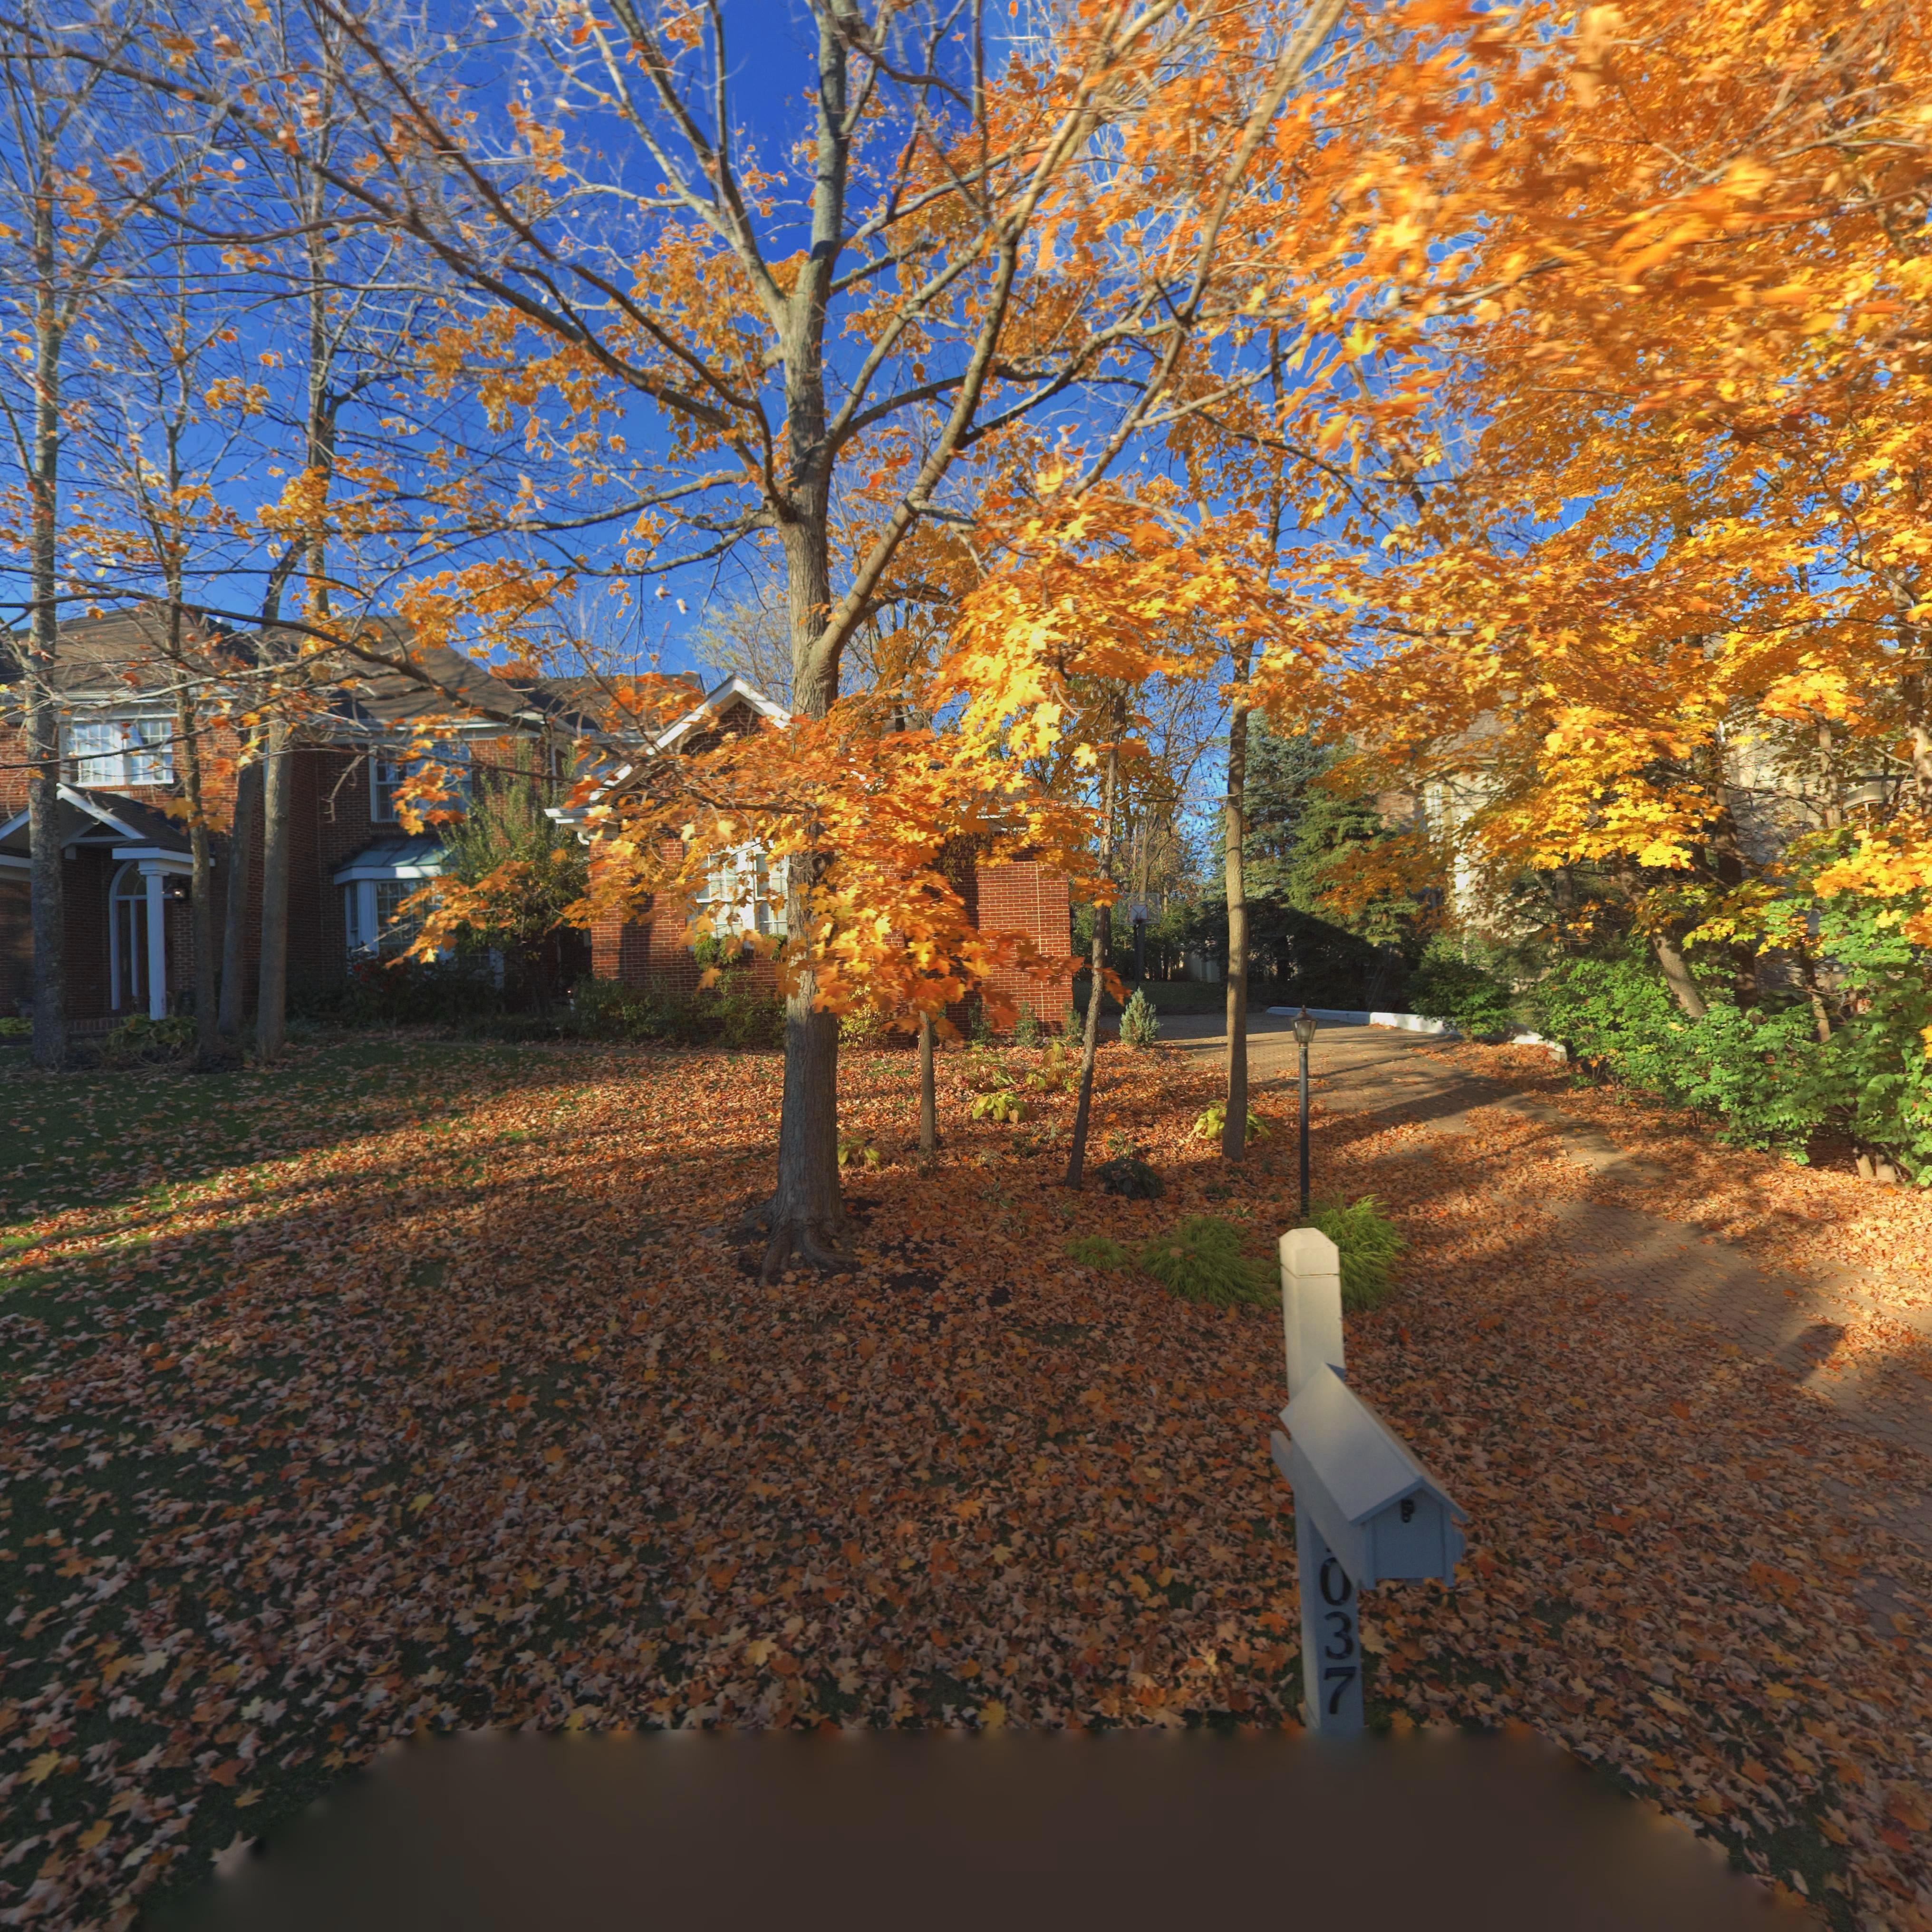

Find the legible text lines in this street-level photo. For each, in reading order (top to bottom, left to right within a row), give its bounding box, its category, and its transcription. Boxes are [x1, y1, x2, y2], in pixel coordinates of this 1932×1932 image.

[1319, 1609, 1359, 1716] StreetNumber: 37